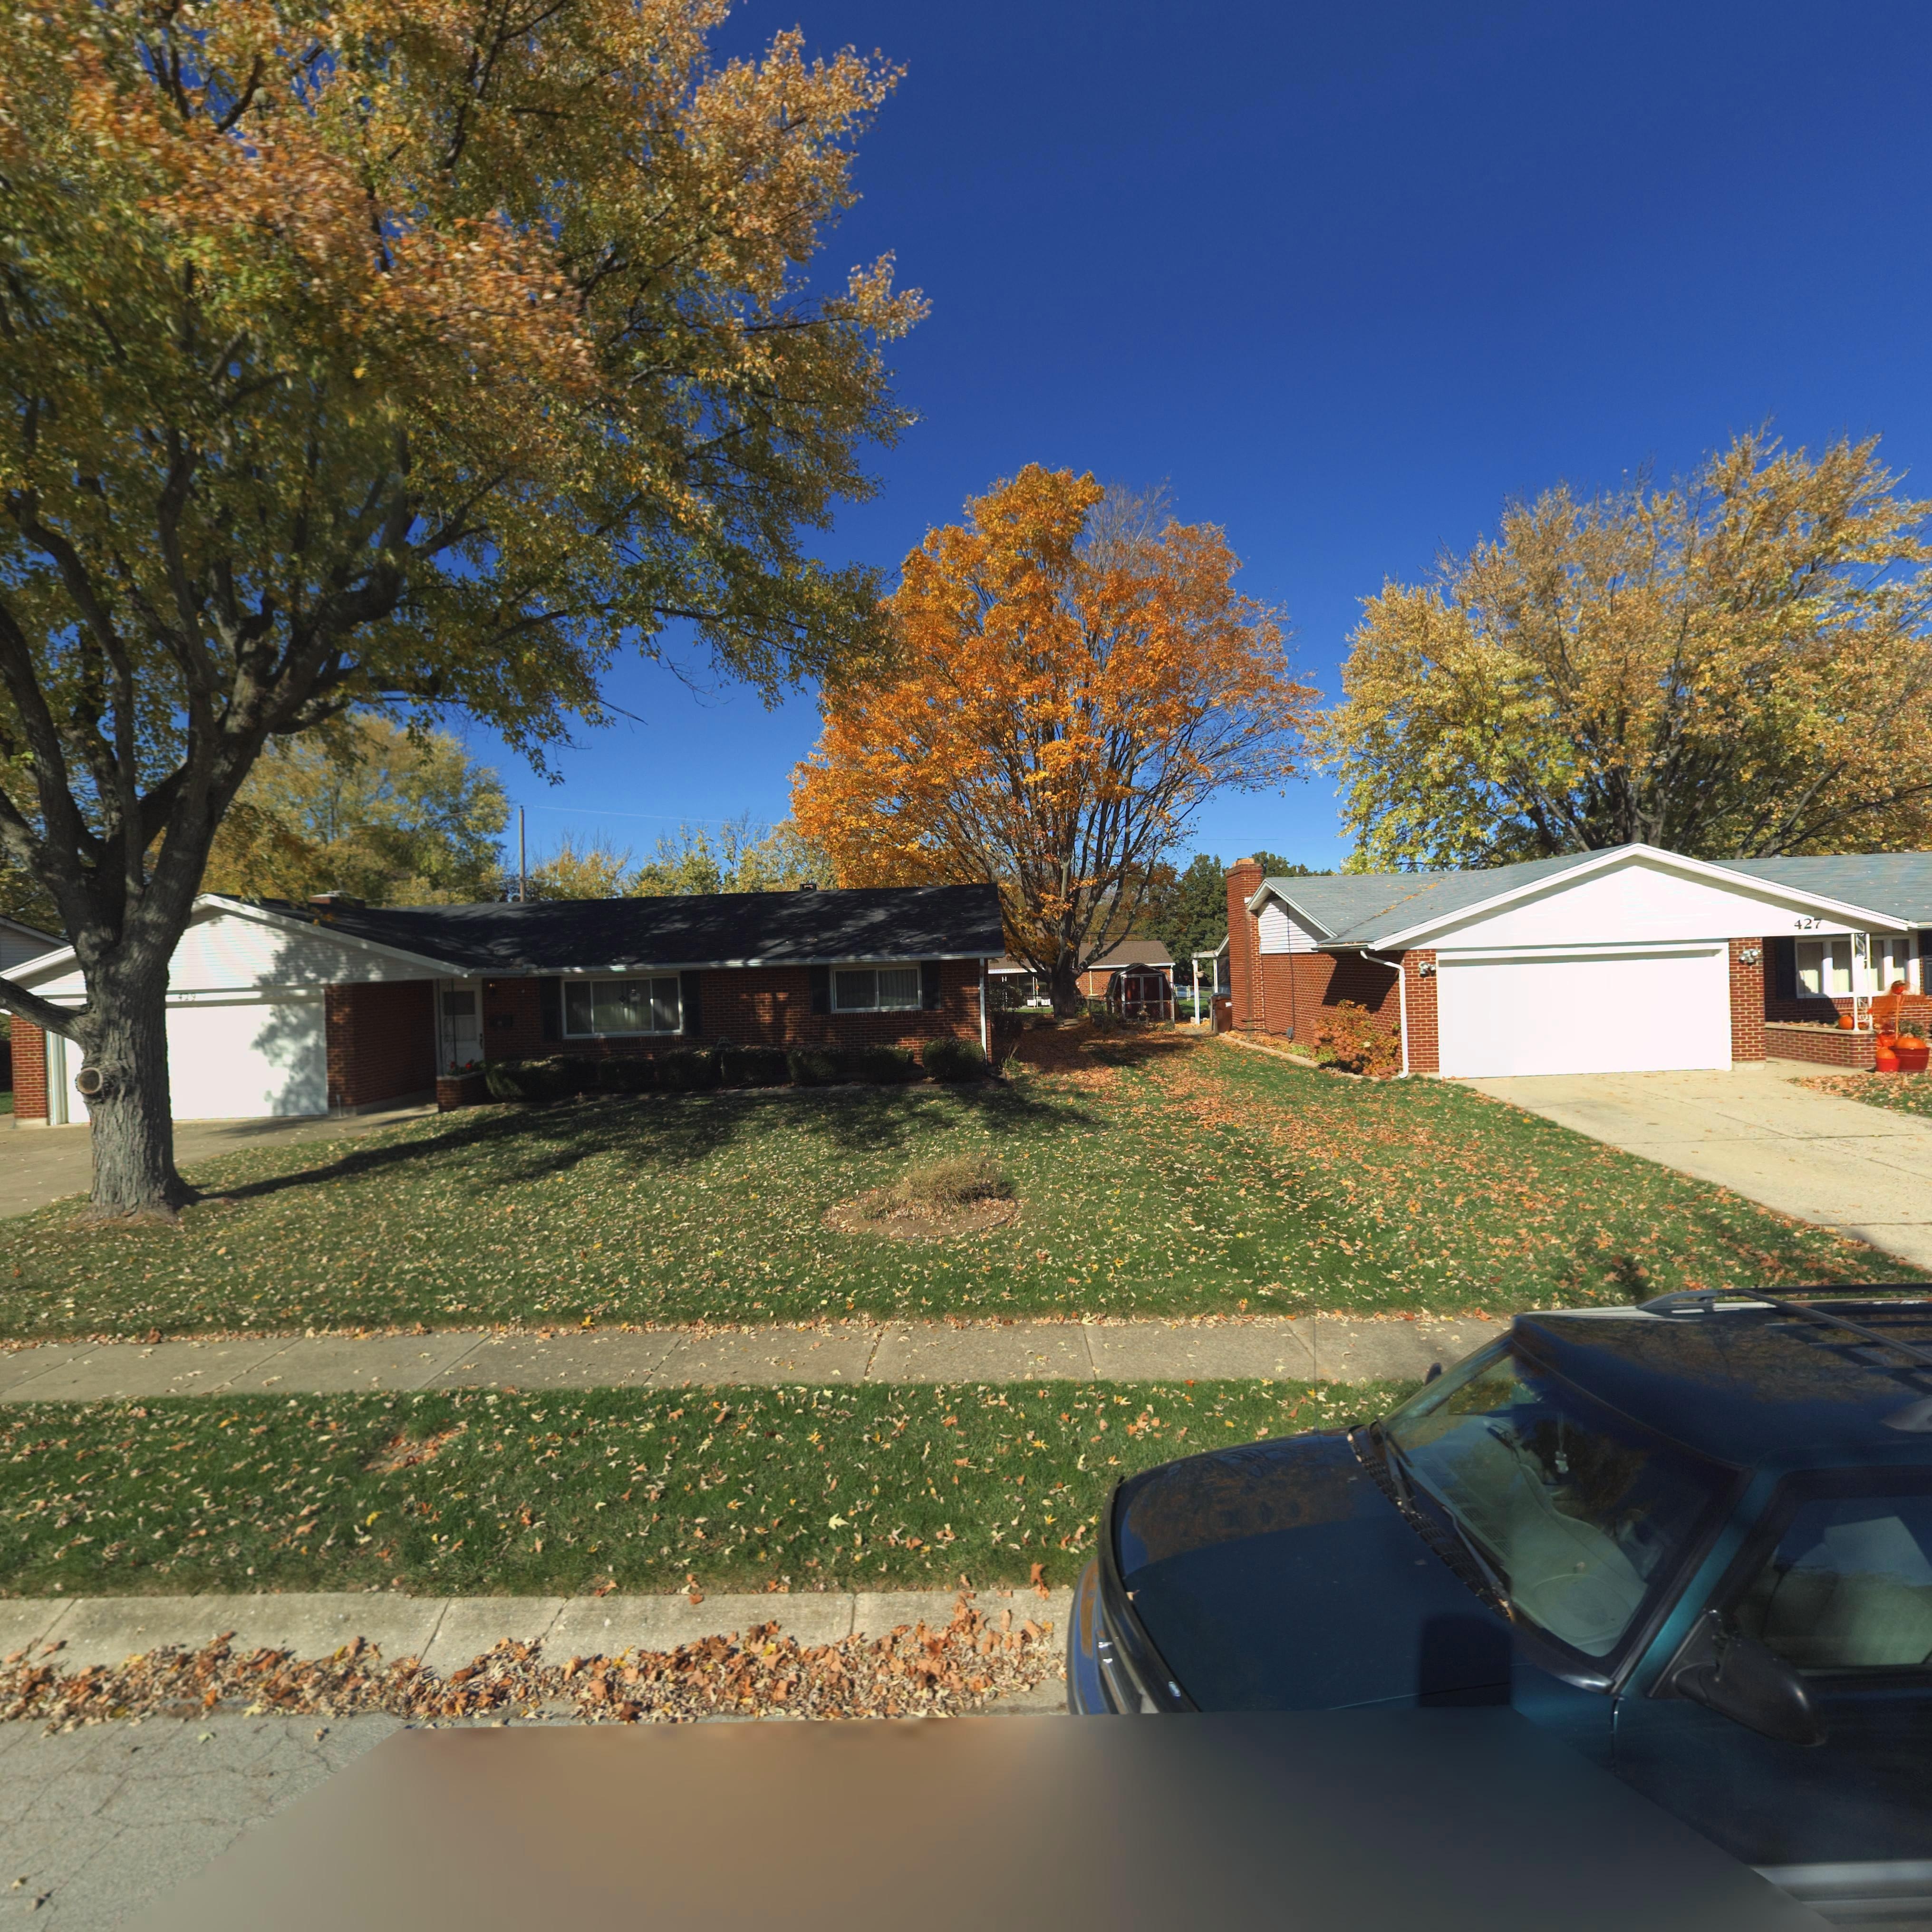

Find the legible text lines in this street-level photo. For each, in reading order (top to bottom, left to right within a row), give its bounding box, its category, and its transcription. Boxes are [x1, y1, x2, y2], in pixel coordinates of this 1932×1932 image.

[1793, 916, 1824, 931] StreetNumber: 427
[176, 991, 198, 1002] StreetNumber: 429